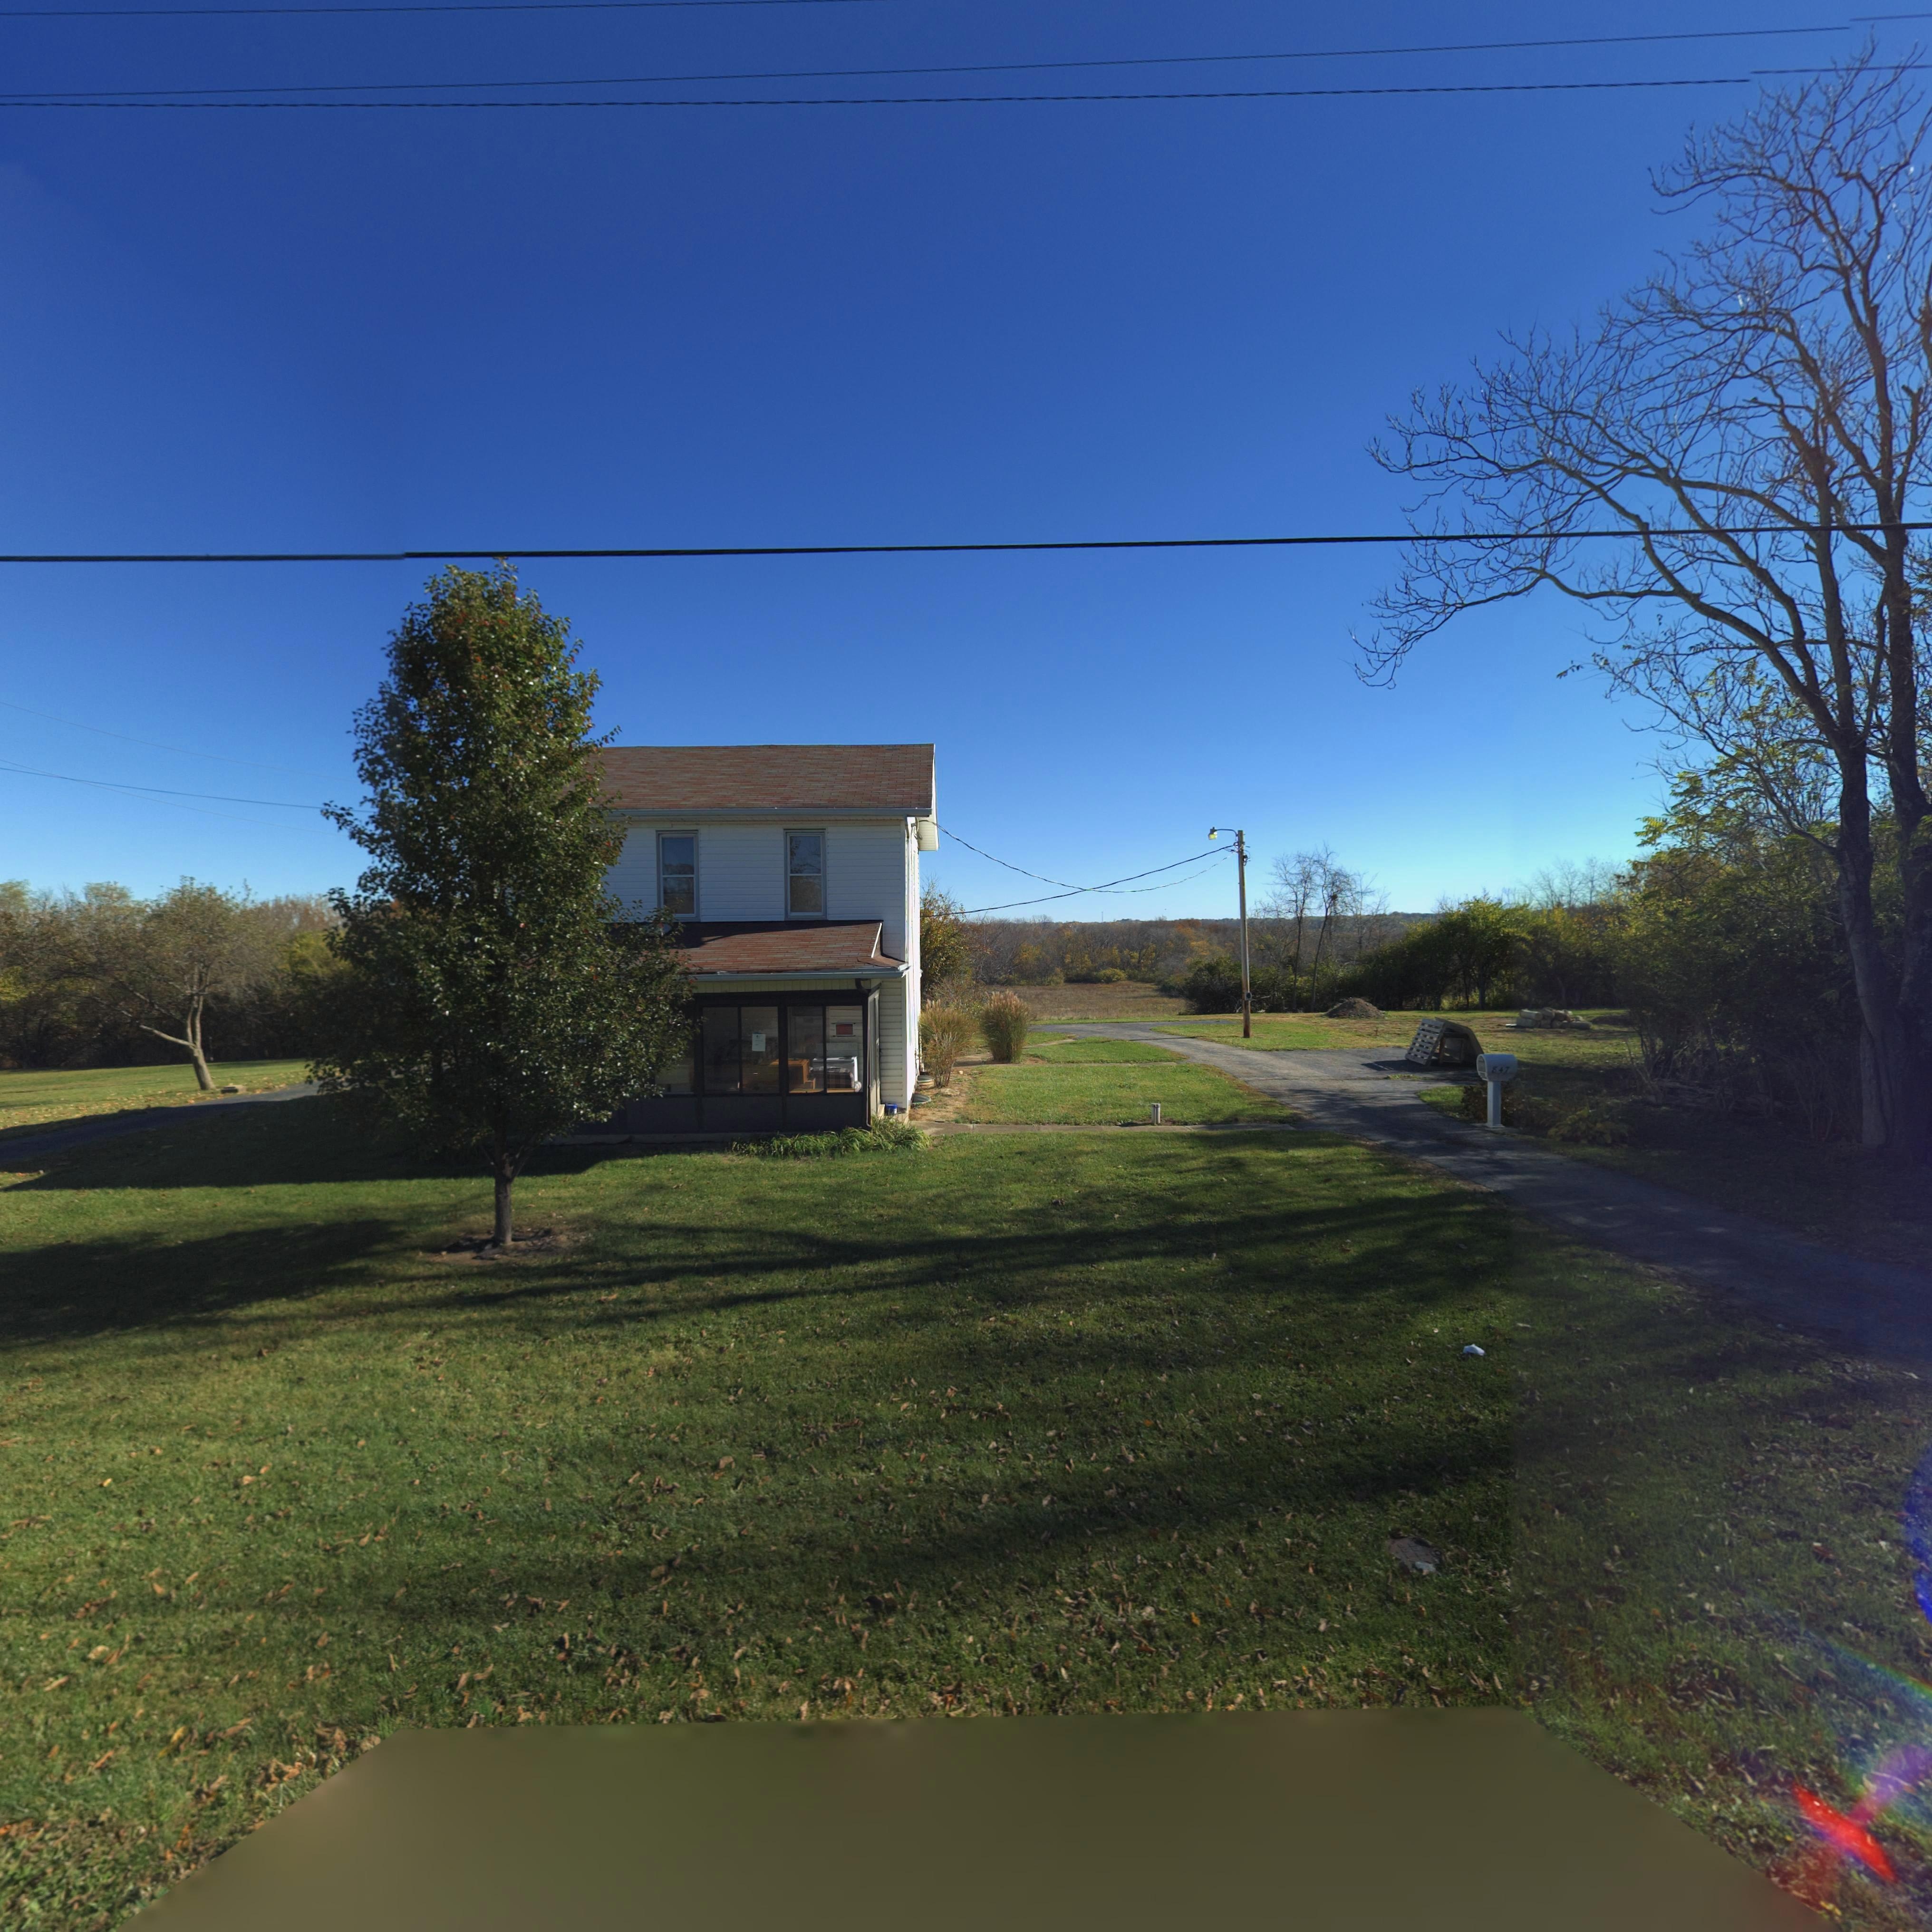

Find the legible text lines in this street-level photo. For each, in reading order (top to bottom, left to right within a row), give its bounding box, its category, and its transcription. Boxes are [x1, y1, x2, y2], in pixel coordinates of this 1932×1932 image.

[1491, 1065, 1511, 1074] StreetNumber: 847